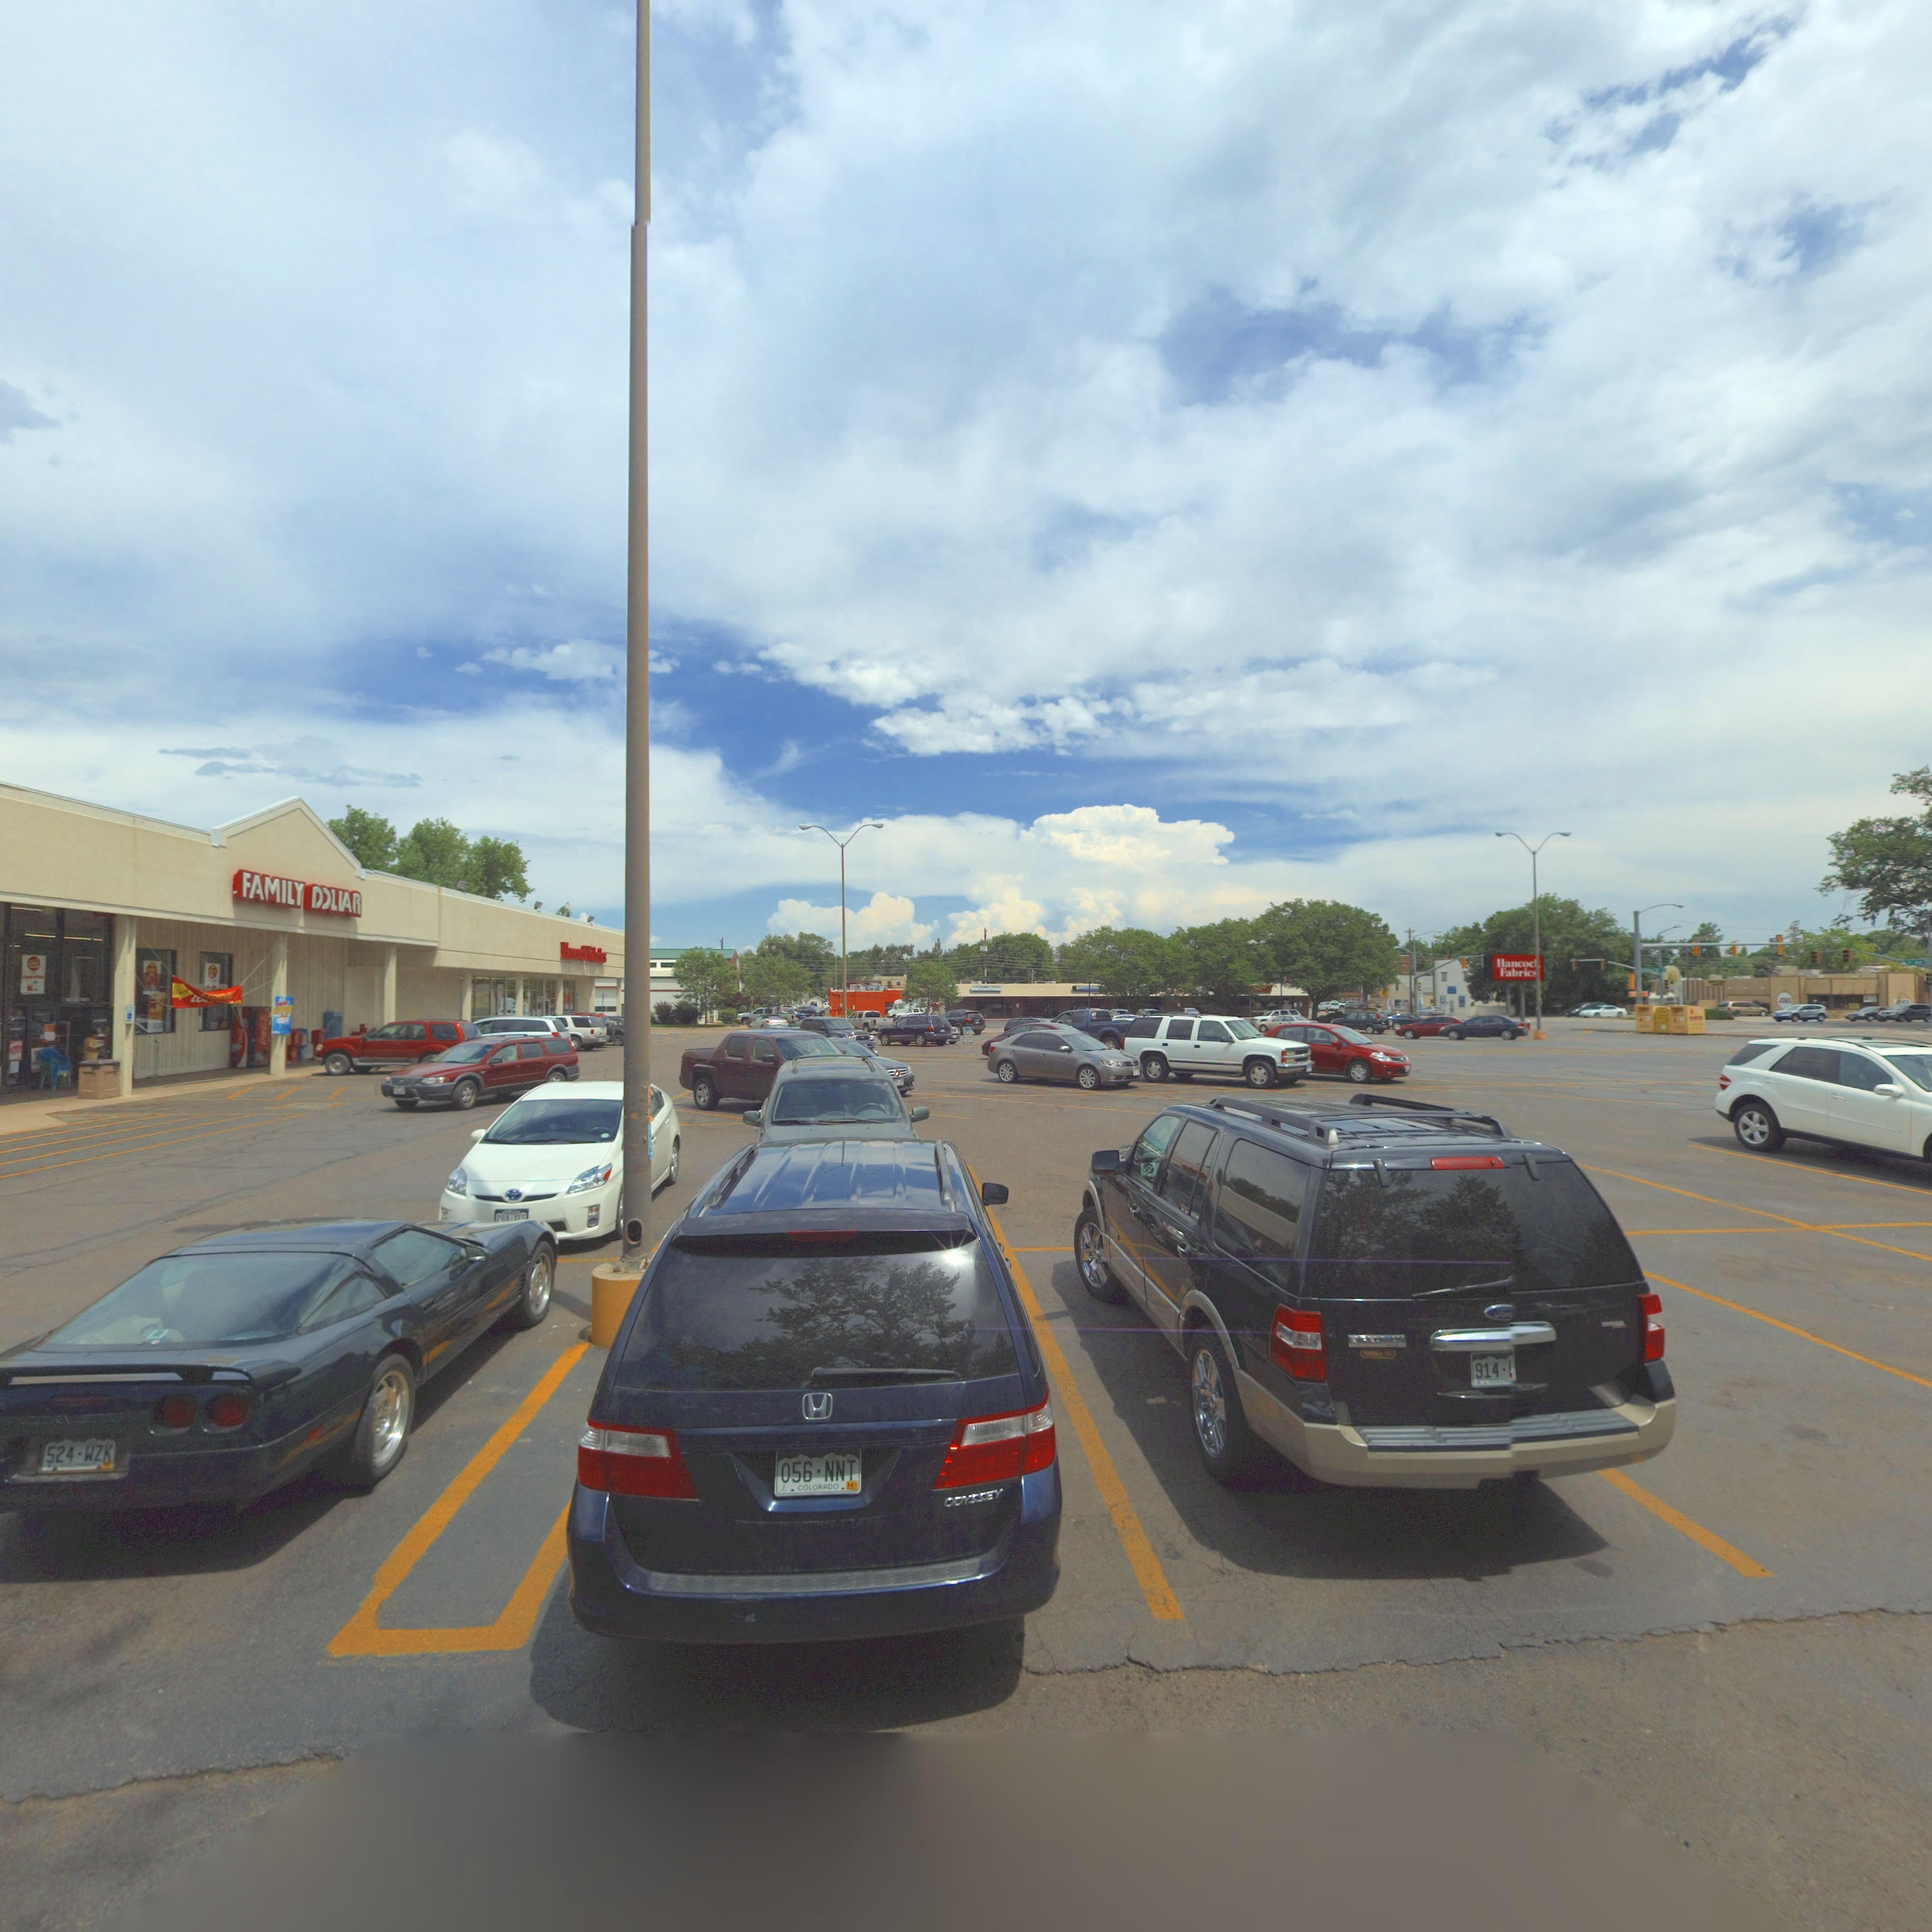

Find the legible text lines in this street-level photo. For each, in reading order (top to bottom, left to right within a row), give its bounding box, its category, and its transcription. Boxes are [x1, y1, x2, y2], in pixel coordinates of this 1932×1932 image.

[242, 871, 361, 915] BusinessName: FAMILY DOLLAR
[1497, 958, 1540, 967] BusinessName: Hancoc*
[1500, 967, 1537, 977] BusinessName: Fabrics